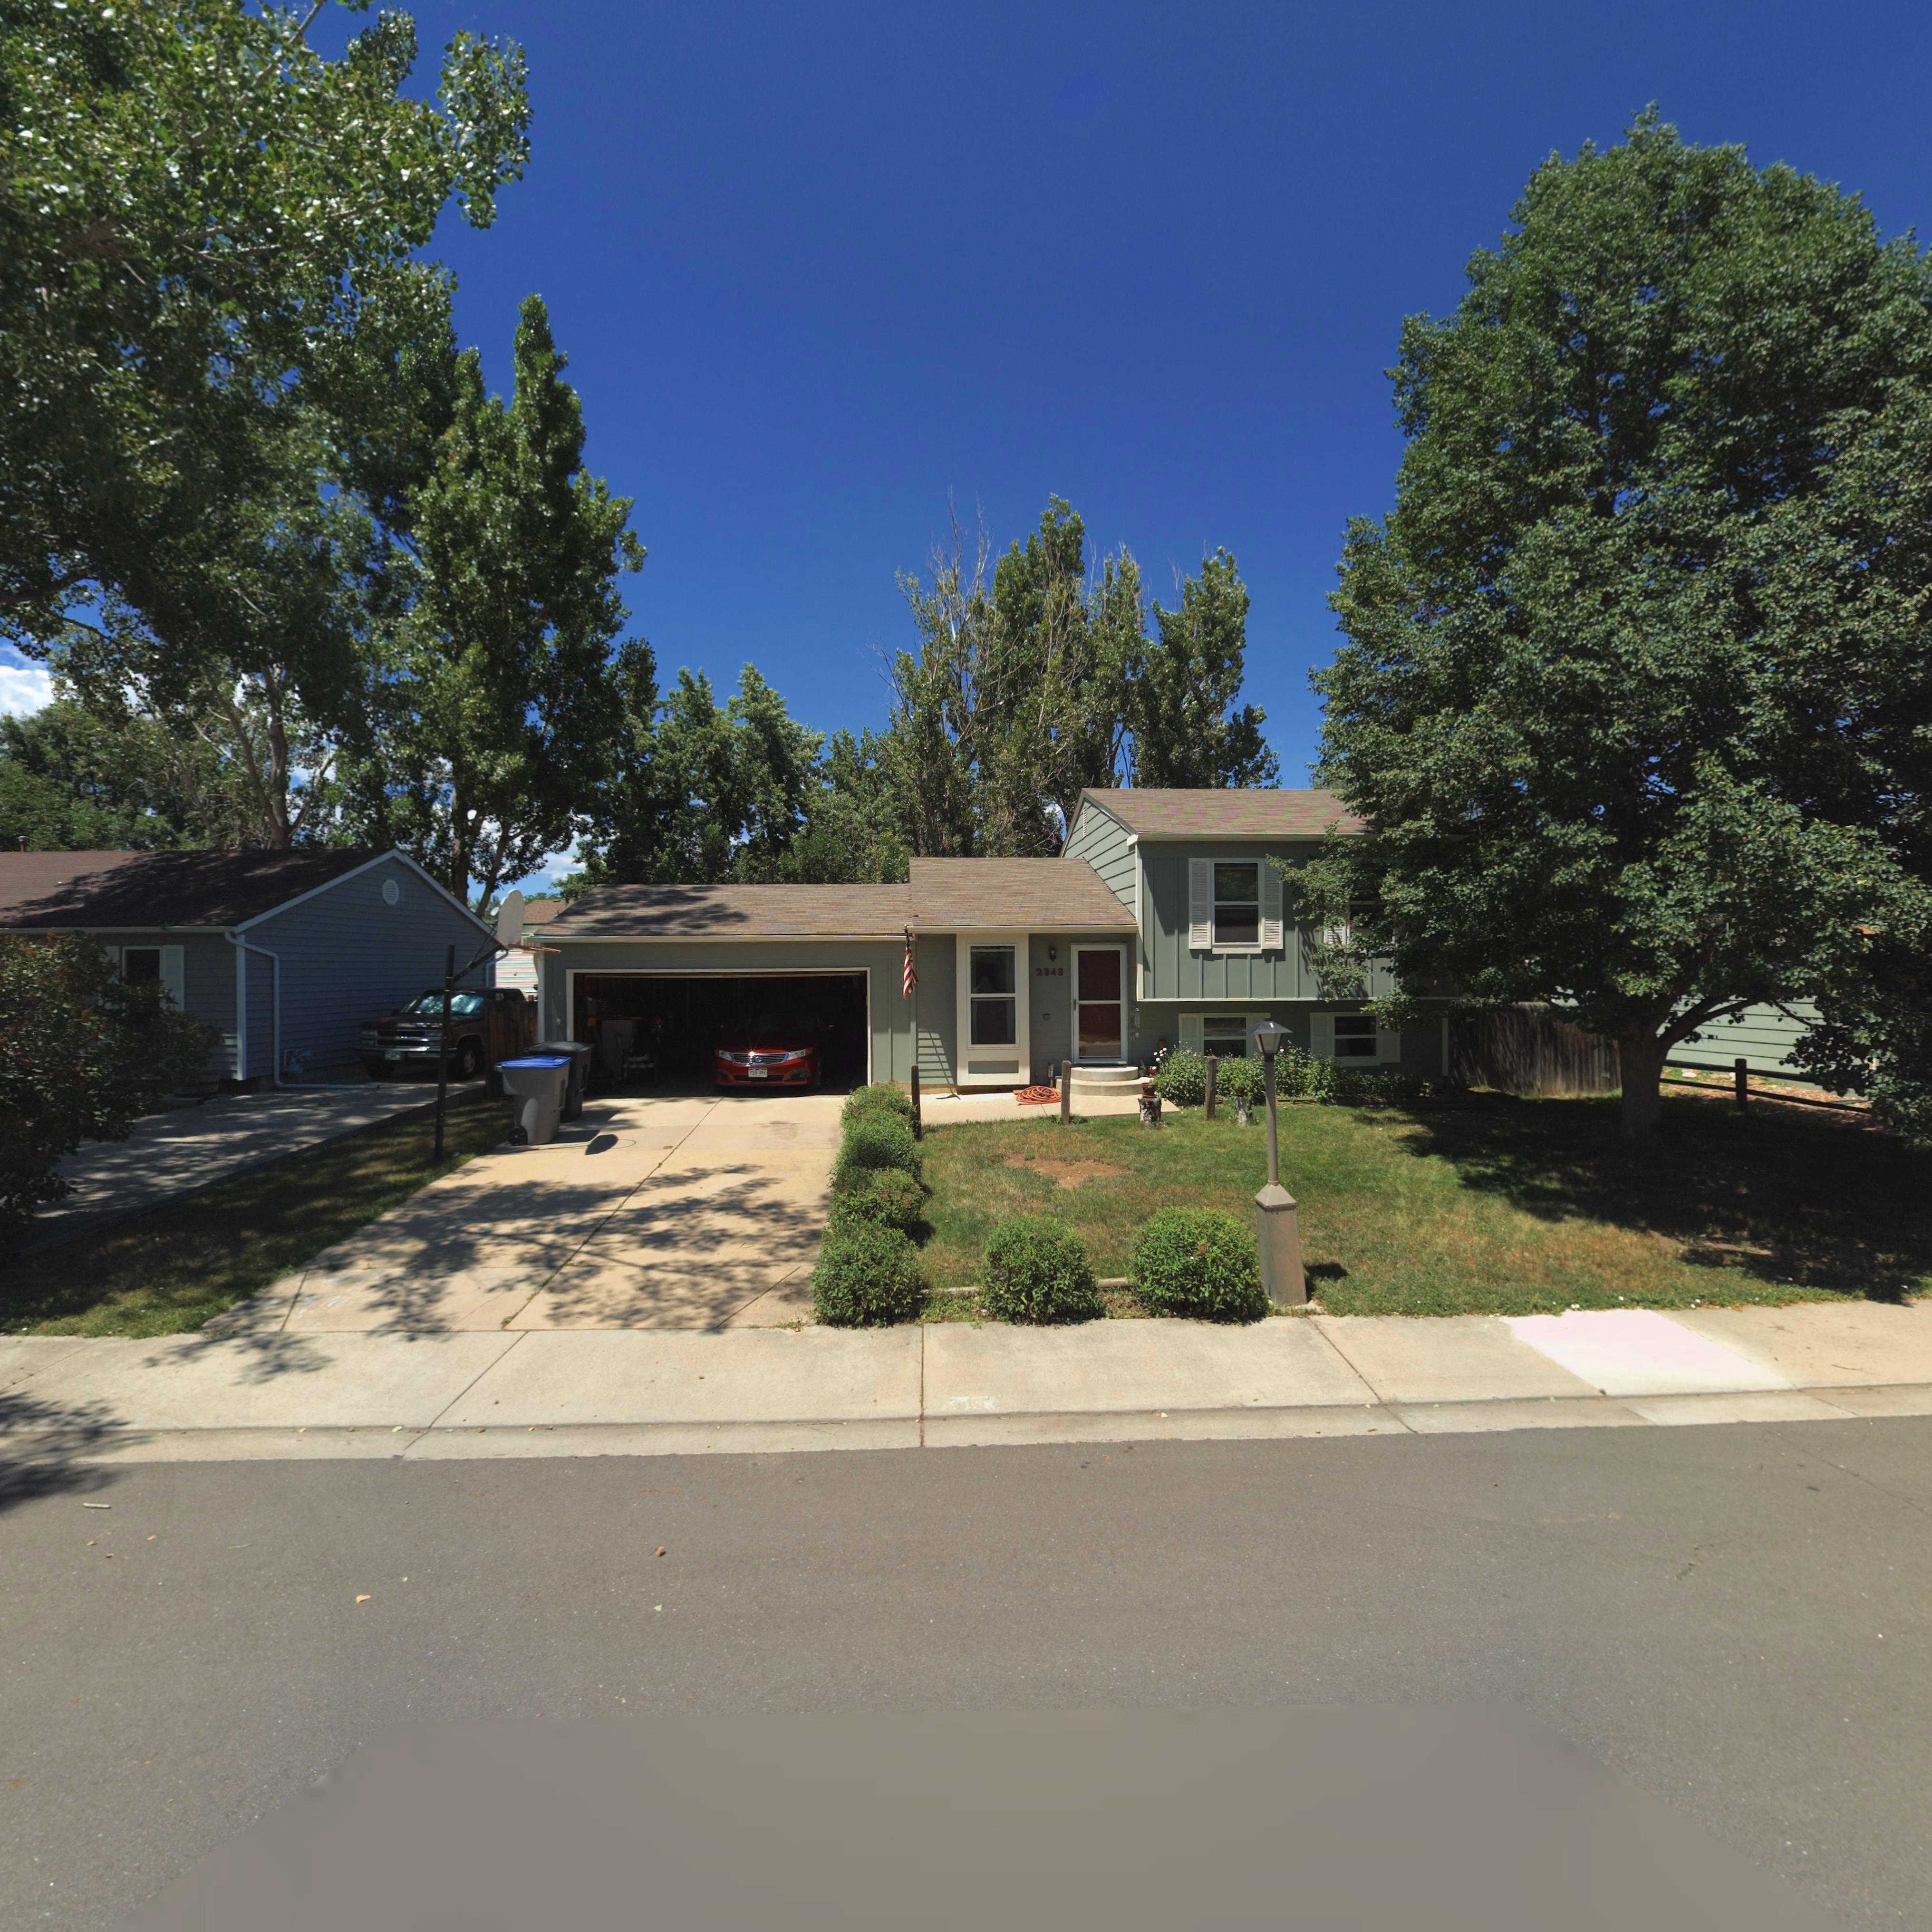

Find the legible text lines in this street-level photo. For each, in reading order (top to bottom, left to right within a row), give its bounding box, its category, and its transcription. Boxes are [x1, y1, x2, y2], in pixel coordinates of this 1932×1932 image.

[1036, 967, 1063, 976] StreetNumber: 2343